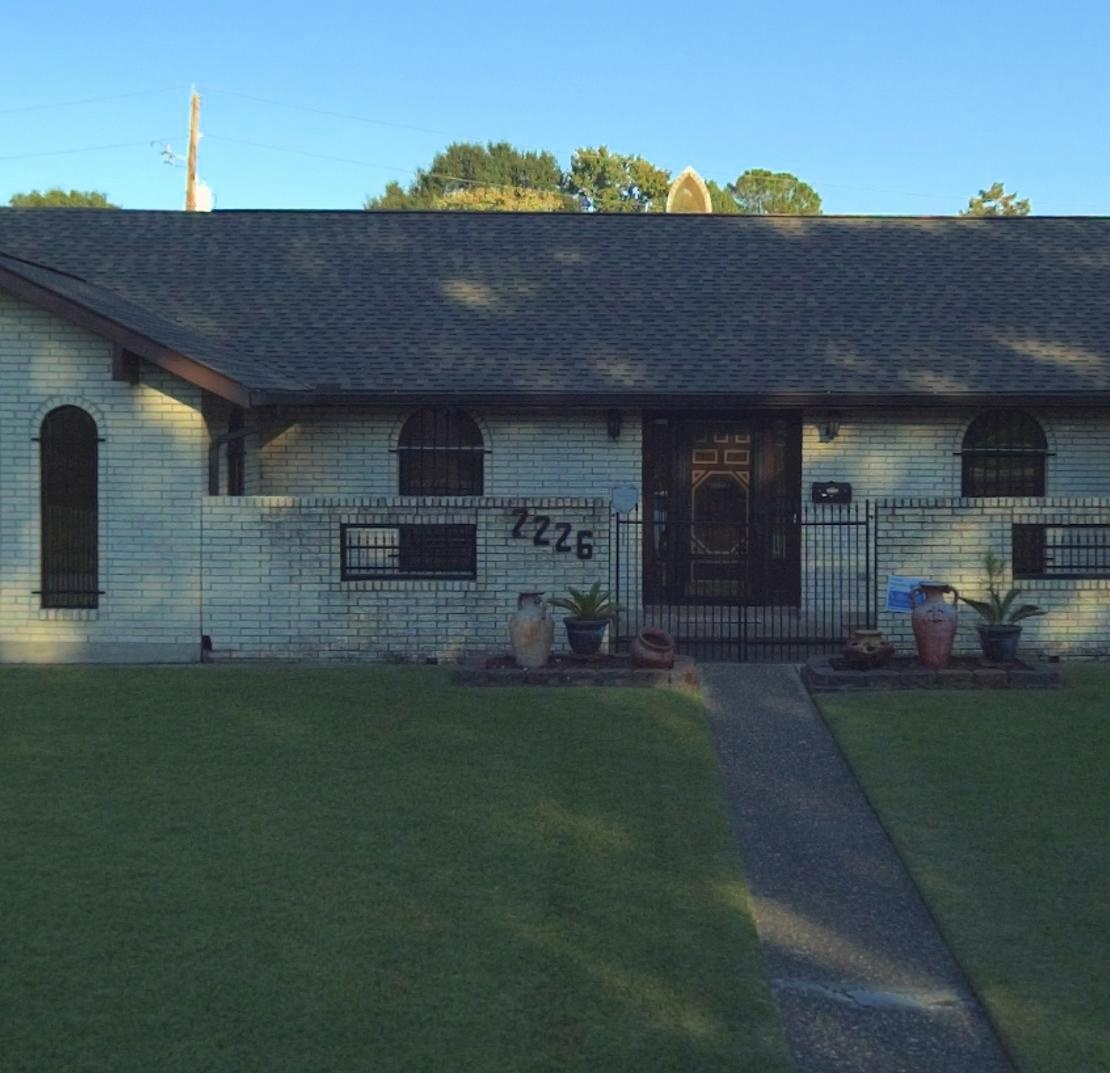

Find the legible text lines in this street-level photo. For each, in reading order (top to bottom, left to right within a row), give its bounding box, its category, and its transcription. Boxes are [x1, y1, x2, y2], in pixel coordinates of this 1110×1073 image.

[509, 506, 598, 564] StreetNumber: 2226